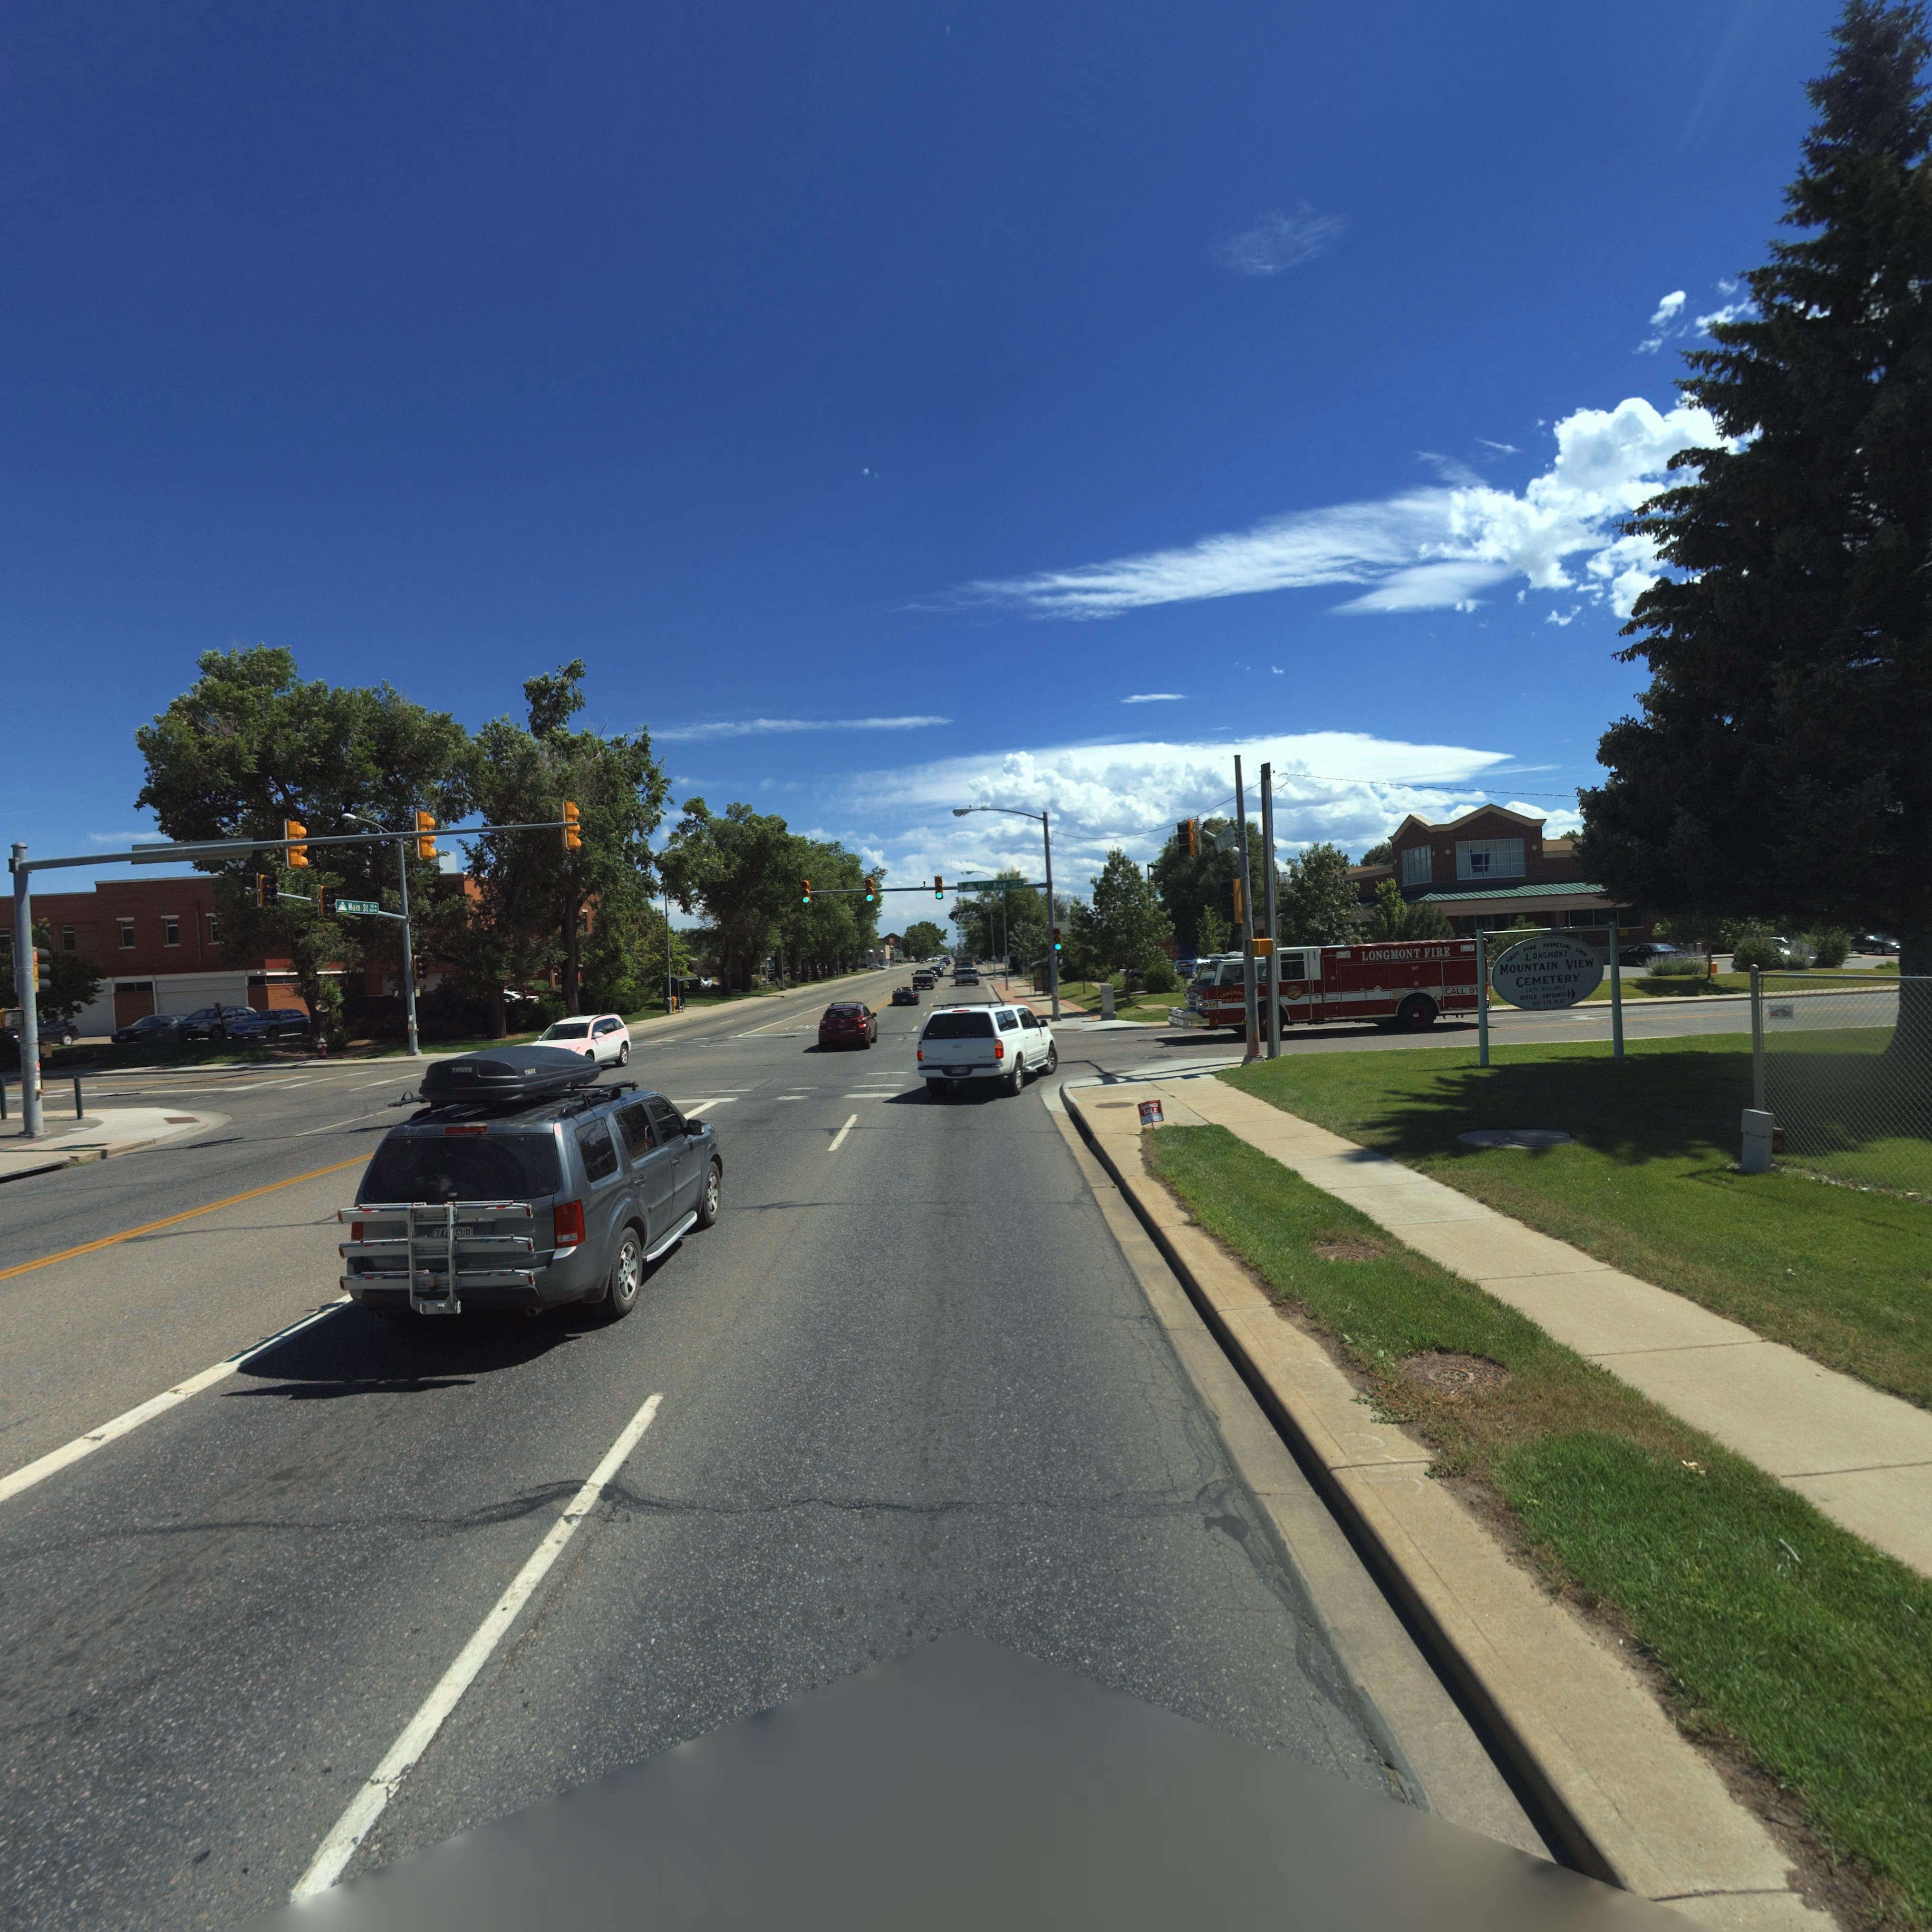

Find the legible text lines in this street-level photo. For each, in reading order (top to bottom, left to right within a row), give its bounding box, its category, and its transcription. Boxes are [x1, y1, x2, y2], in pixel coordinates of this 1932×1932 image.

[978, 881, 1006, 889] StreetName: 11th Ave
[348, 902, 368, 912] StreetName: Main St
[1525, 950, 1569, 961] BusinessName: LONGMONT
[1499, 958, 1594, 975] BusinessName: MOUNTAIN VIEW
[1516, 973, 1580, 987] BusinessName: CEMETERY